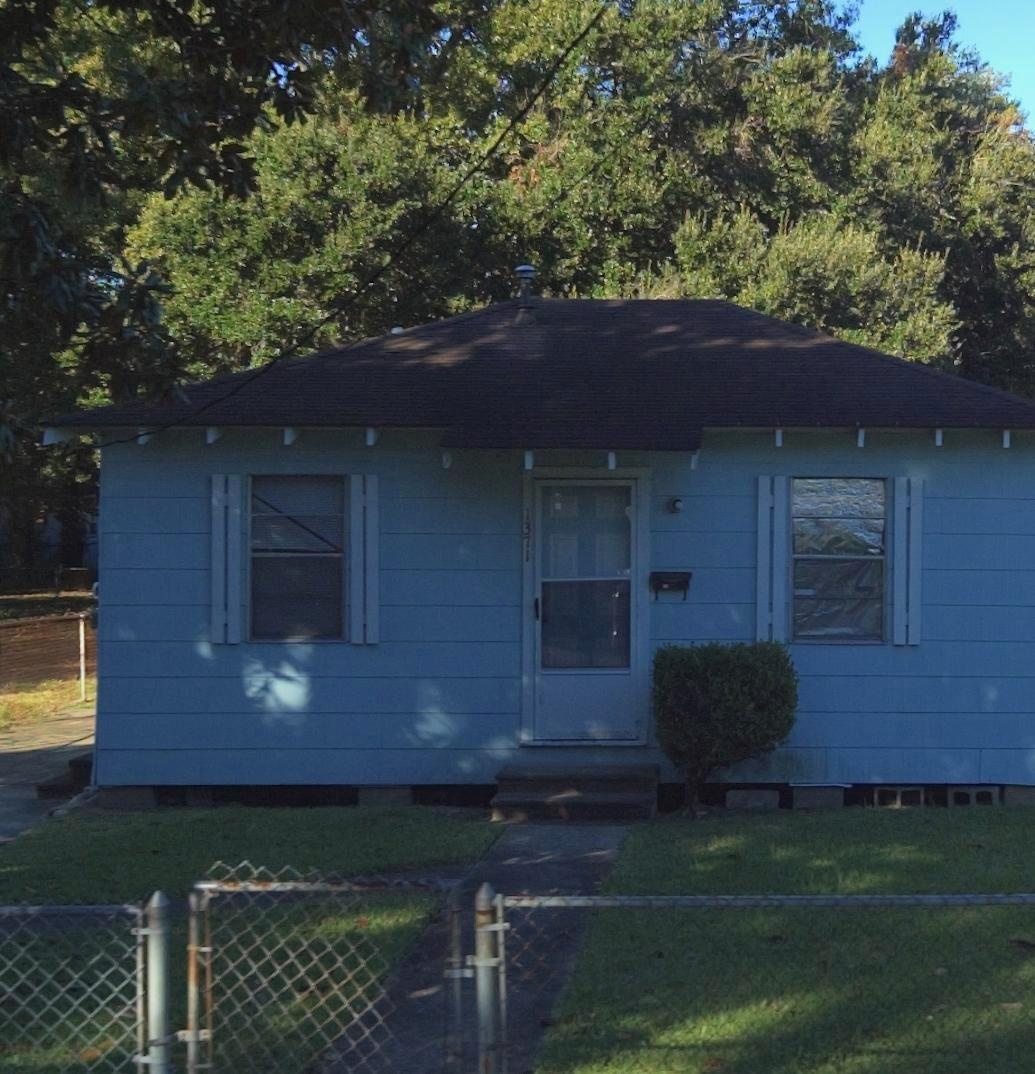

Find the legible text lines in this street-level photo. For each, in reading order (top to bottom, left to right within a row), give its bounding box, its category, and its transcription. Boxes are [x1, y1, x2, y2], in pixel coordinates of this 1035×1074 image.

[521, 506, 533, 565] StreetNumber: 1371